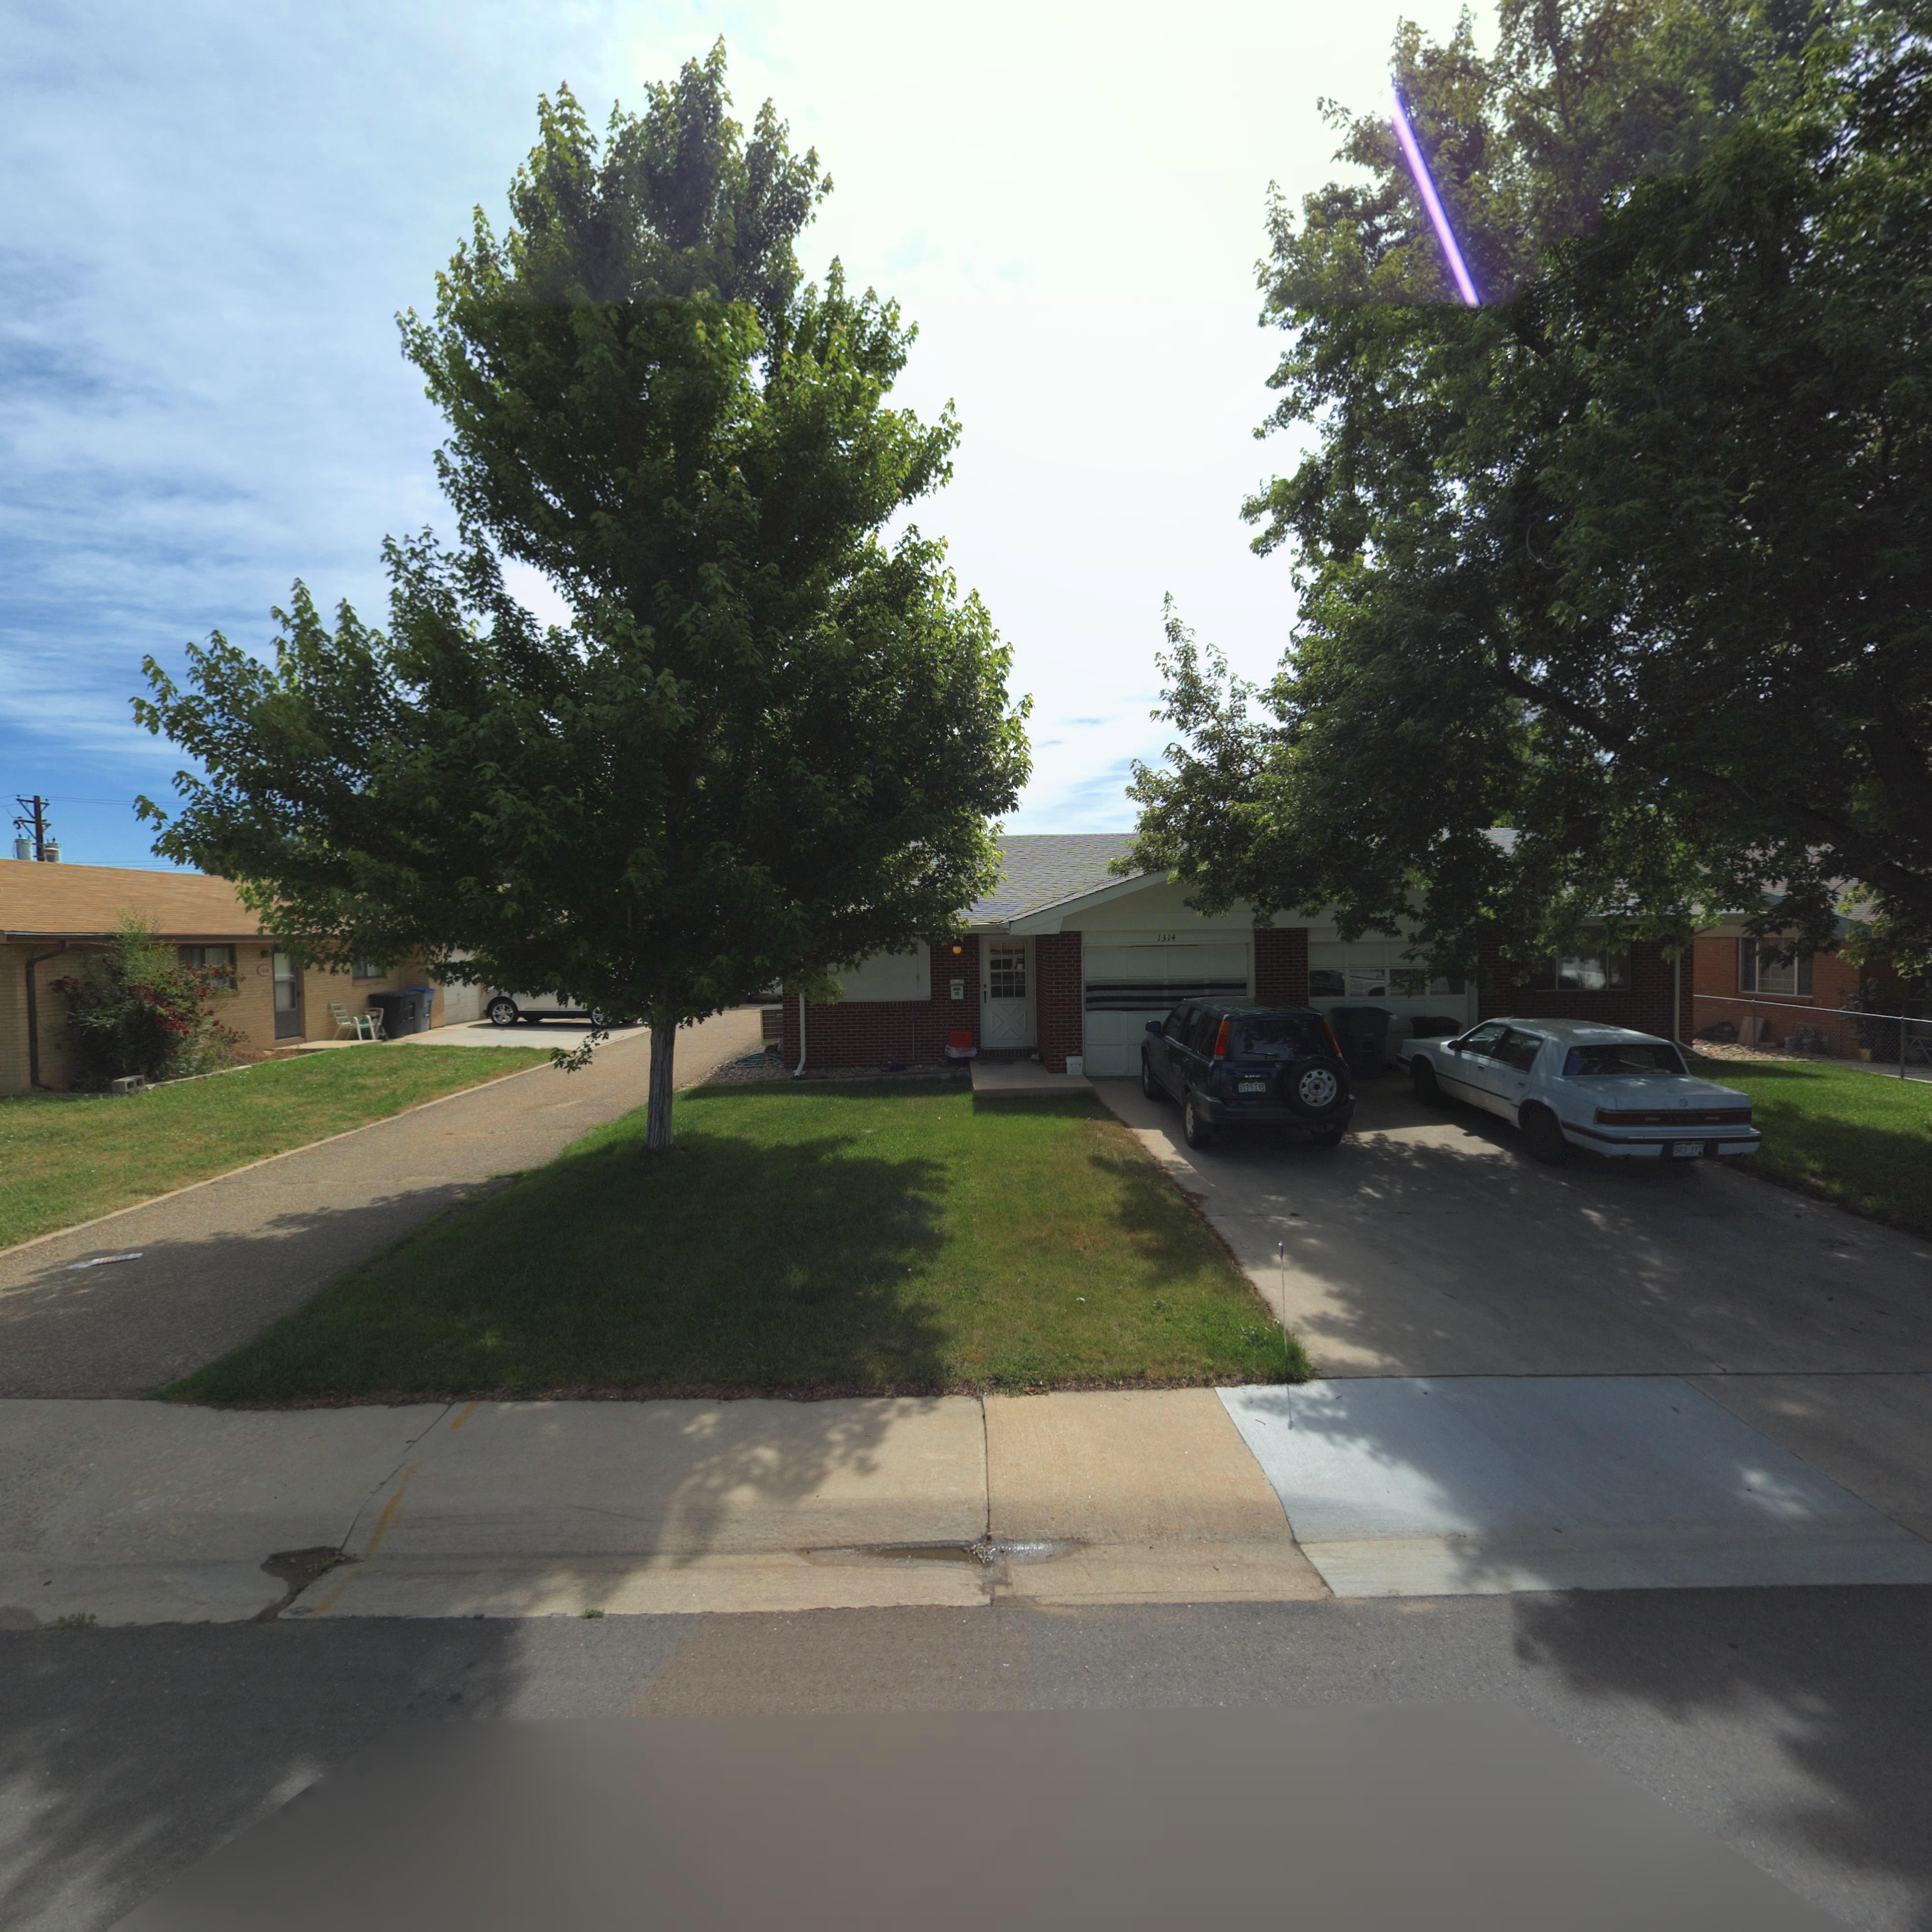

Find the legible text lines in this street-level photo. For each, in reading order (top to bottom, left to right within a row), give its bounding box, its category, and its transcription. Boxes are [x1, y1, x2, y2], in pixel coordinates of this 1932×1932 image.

[1157, 934, 1176, 941] StreetNumber: 1314
[260, 968, 268, 973] StreetNumber: 15**
[953, 987, 960, 991] StreetNumber: 13**